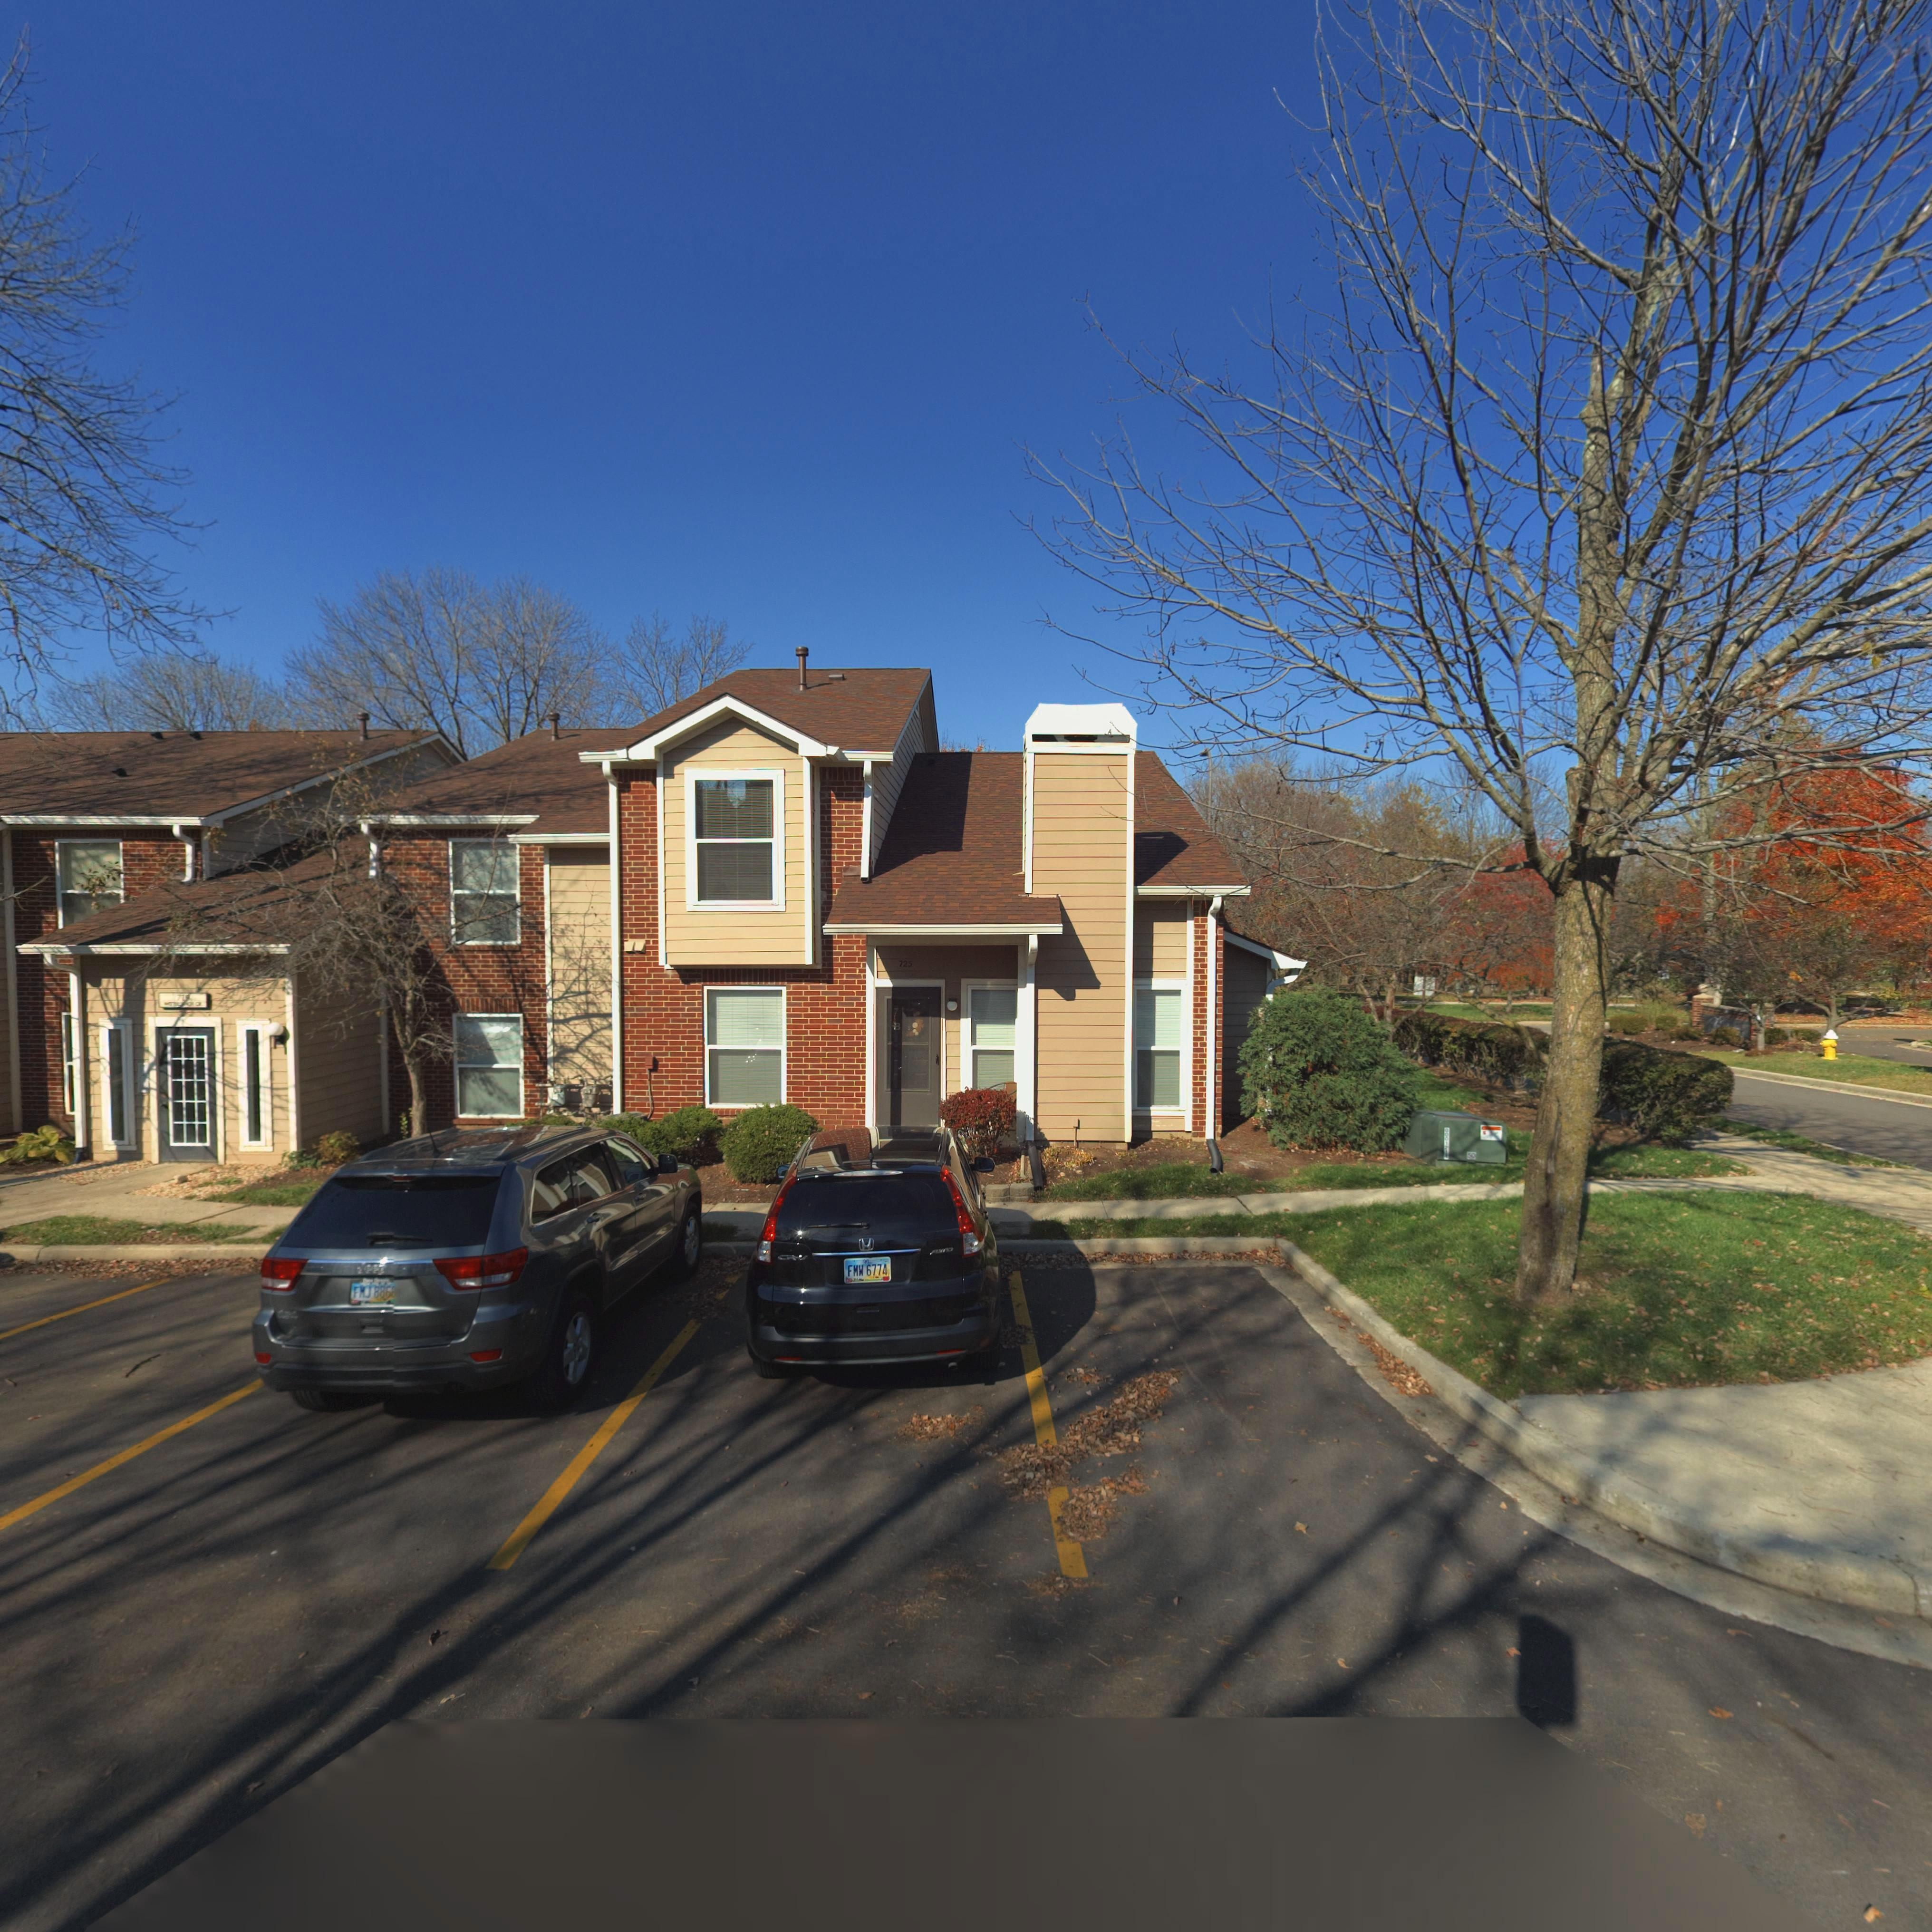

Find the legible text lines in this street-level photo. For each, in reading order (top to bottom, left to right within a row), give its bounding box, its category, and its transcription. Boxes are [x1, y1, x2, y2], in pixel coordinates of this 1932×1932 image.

[898, 959, 914, 968] StreetNumber: 725
[175, 994, 185, 1003] StreetNumber: 71
[776, 1253, 810, 1262] None: CR-V
[847, 1262, 889, 1278] None: FMW 6774
[351, 1283, 393, 1300] None: FMJ 886